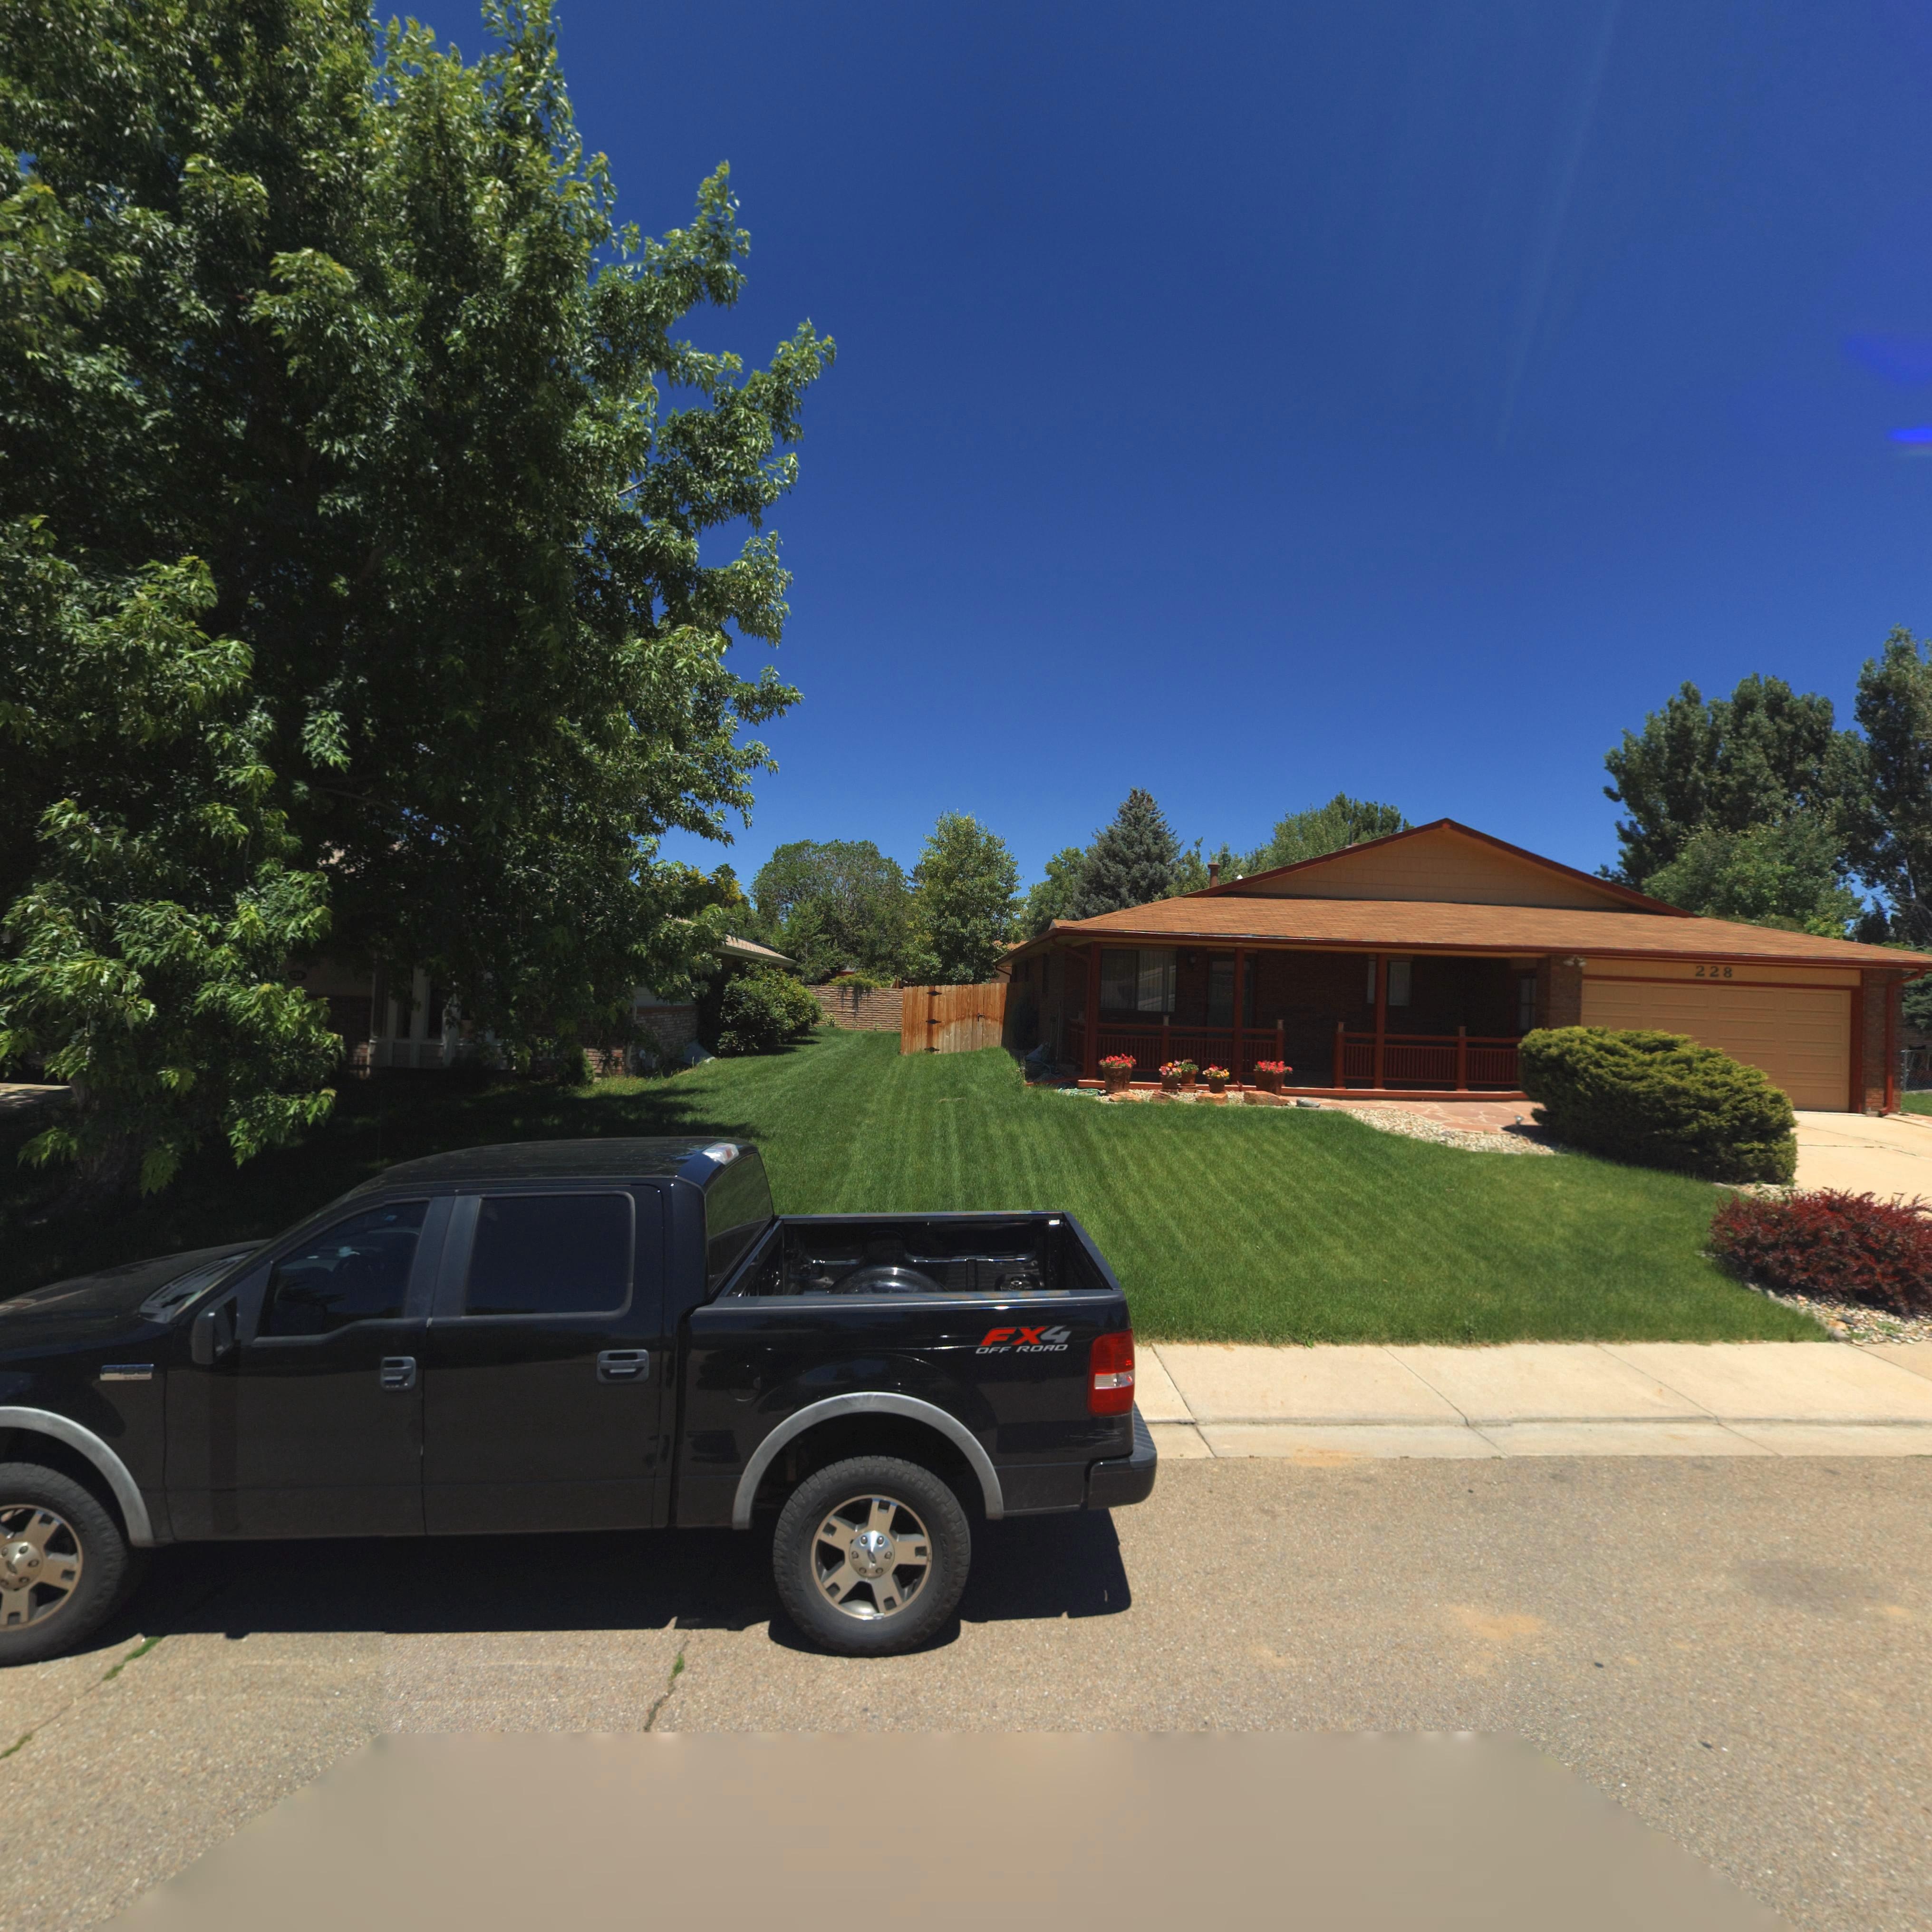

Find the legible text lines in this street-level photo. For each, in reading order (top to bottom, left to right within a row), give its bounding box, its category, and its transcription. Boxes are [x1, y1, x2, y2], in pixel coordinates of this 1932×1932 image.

[1694, 965, 1732, 978] StreetNumber: 228